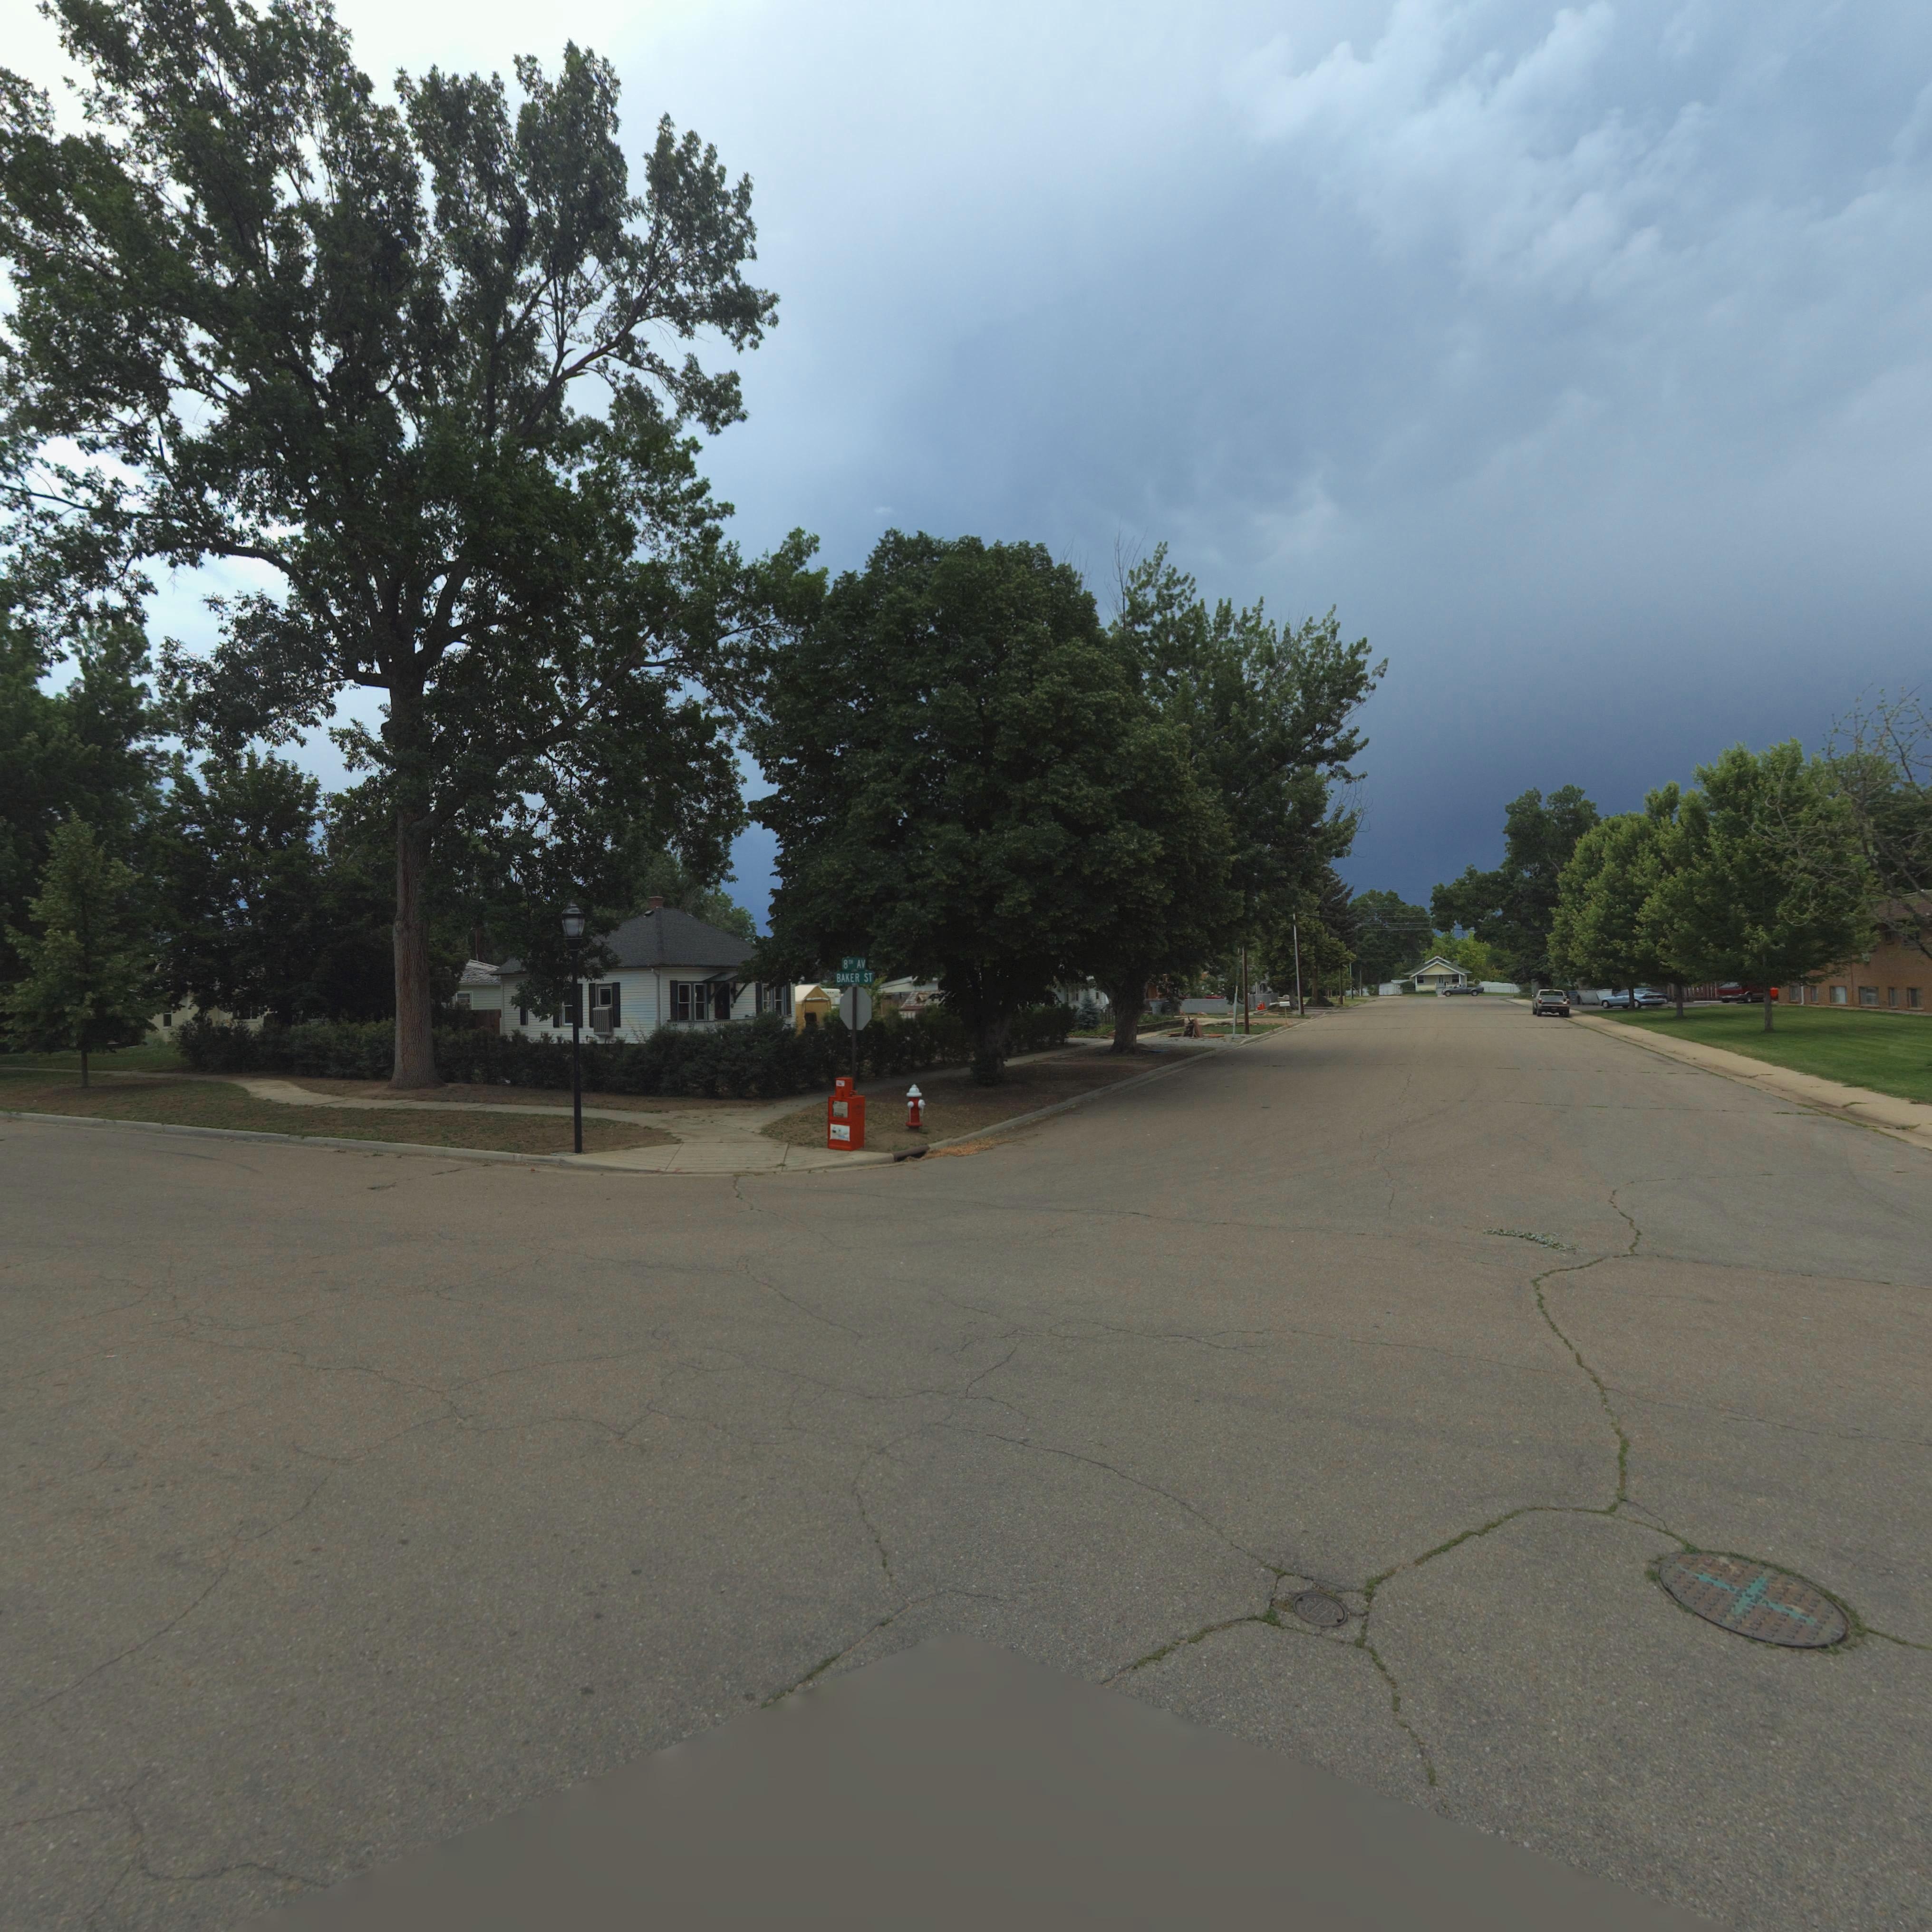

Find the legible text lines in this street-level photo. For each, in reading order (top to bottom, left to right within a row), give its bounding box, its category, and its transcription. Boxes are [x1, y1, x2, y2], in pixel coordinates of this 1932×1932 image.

[842, 959, 866, 969] StreetName: 8TH AV
[836, 972, 873, 983] StreetName: BAKER ST